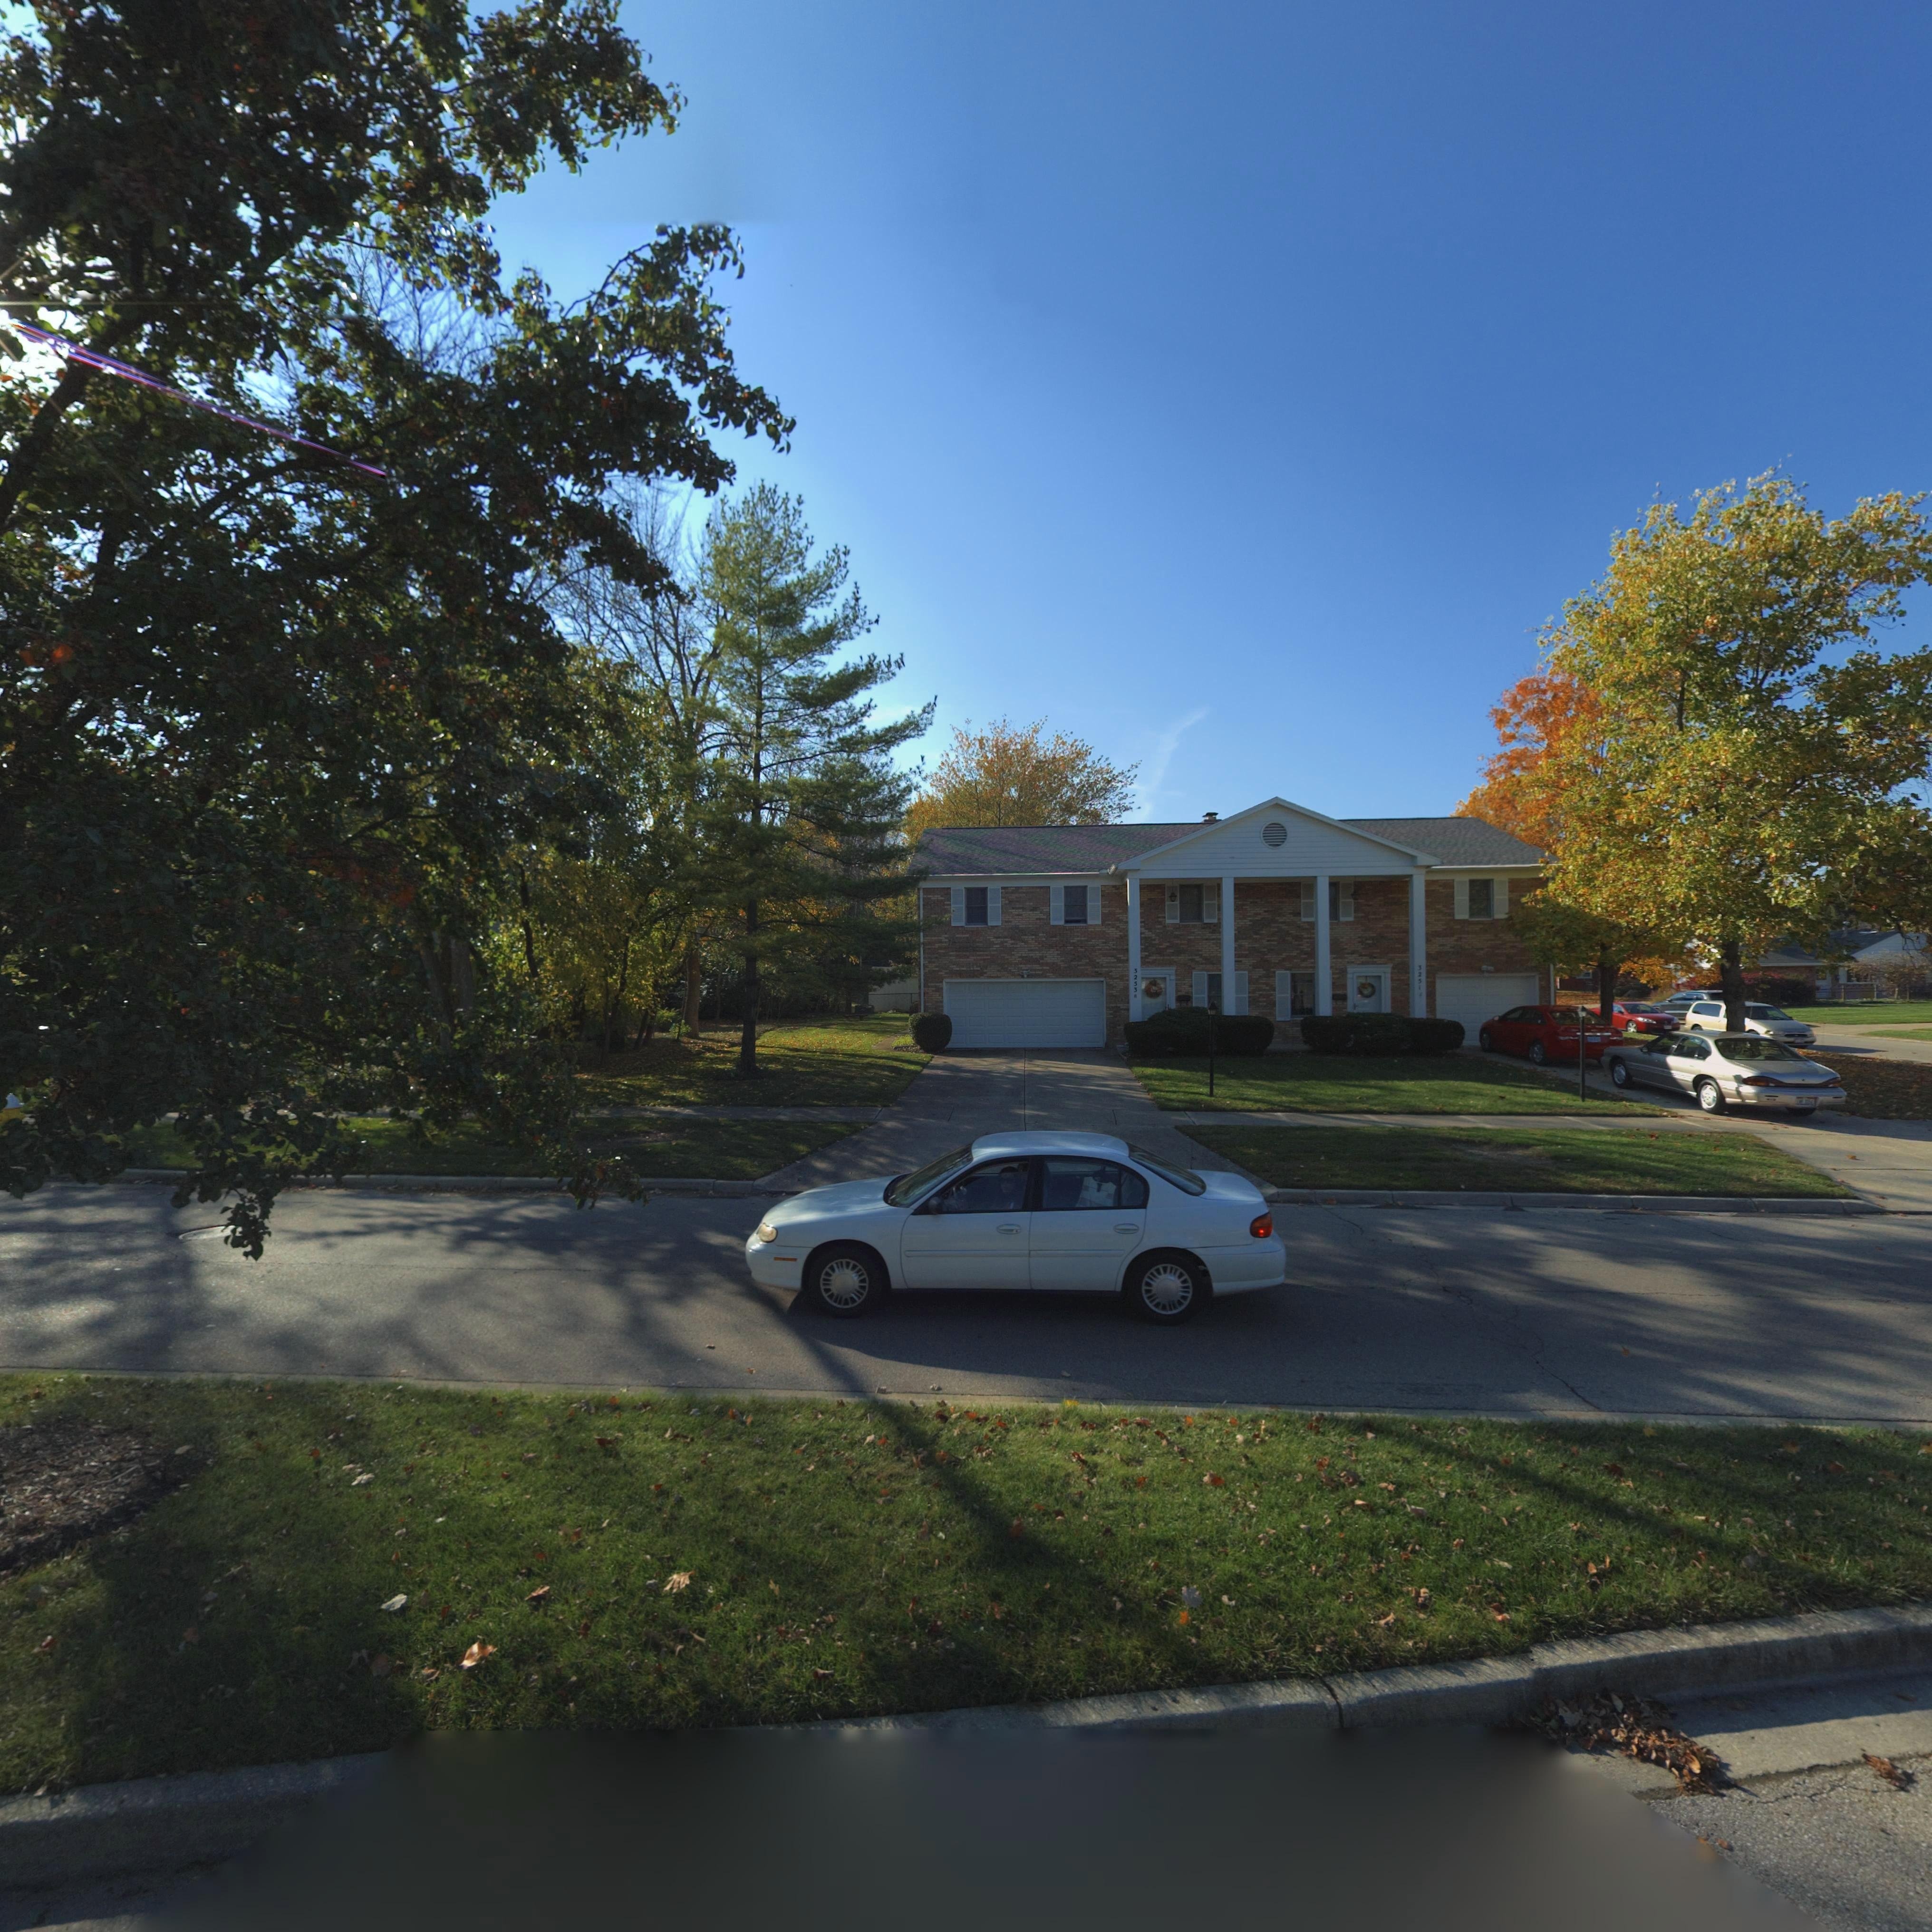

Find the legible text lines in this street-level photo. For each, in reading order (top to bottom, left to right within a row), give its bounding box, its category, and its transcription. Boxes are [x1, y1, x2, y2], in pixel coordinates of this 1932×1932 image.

[1133, 967, 1138, 992] StreetNumber: 3253
[1417, 964, 1422, 991] StreetNumber: 3251